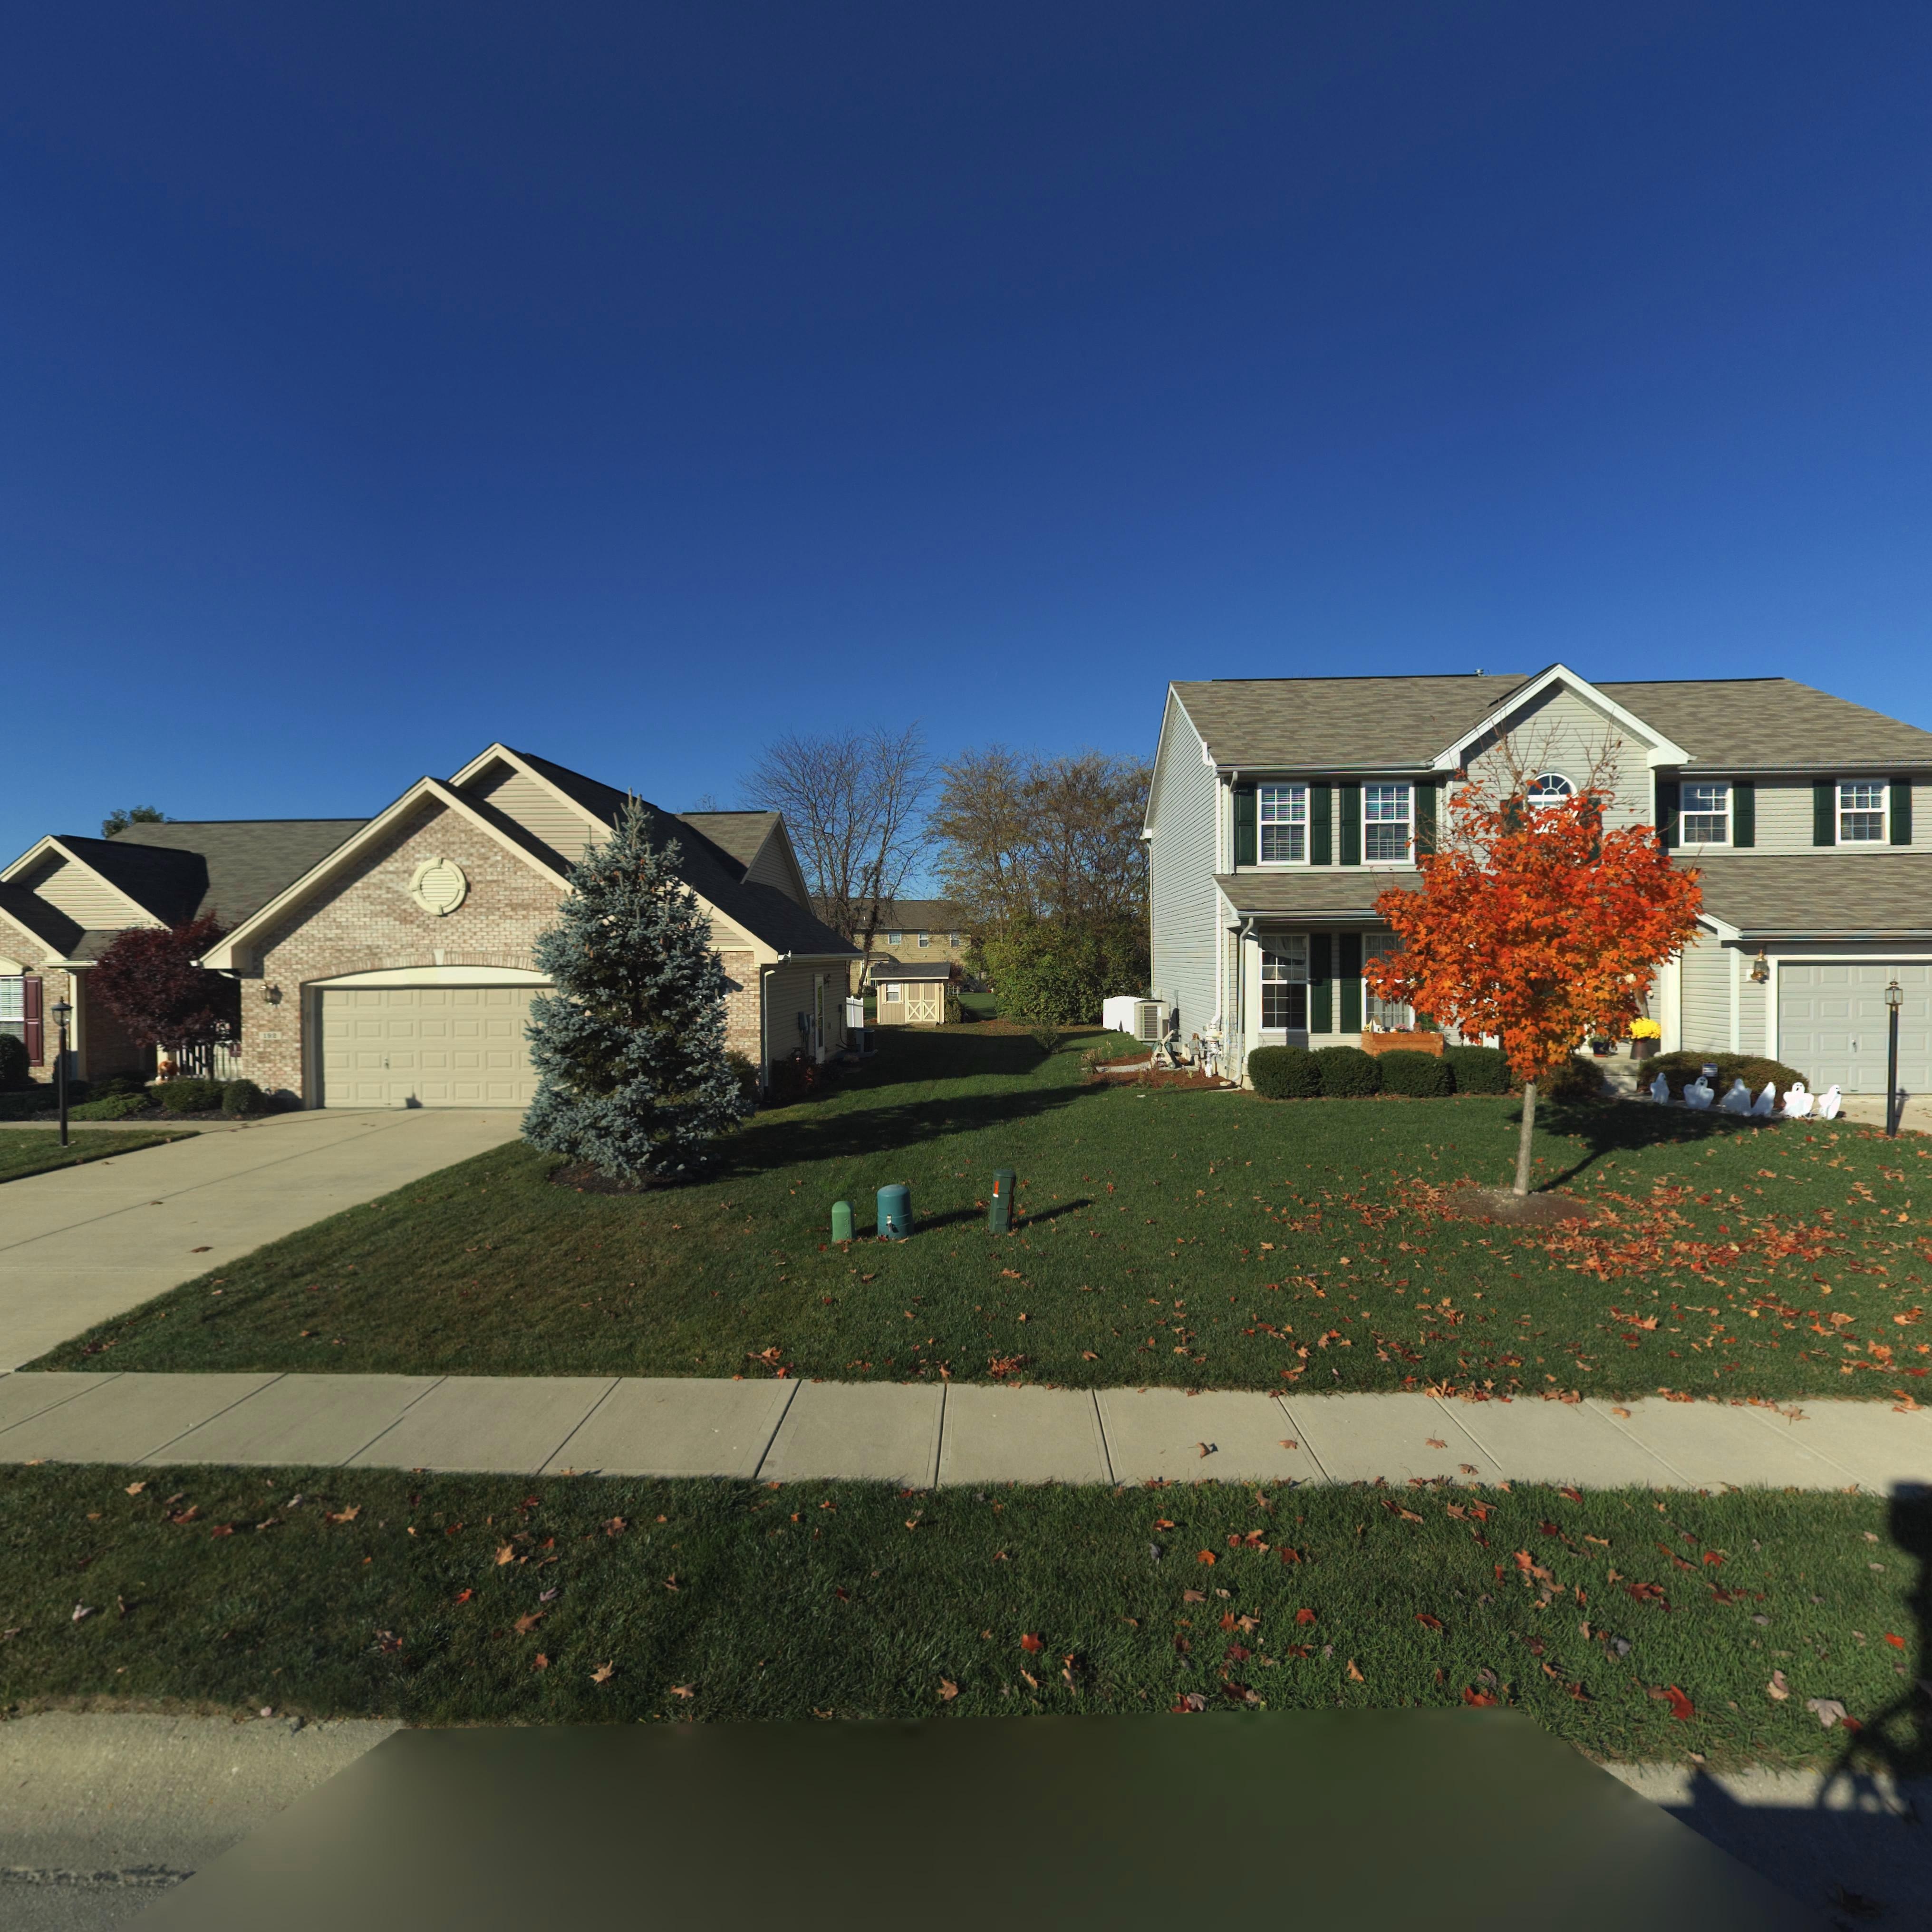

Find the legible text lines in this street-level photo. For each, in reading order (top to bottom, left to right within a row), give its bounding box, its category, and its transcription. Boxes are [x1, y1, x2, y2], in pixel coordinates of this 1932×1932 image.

[261, 1032, 278, 1040] StreetNumber: 192